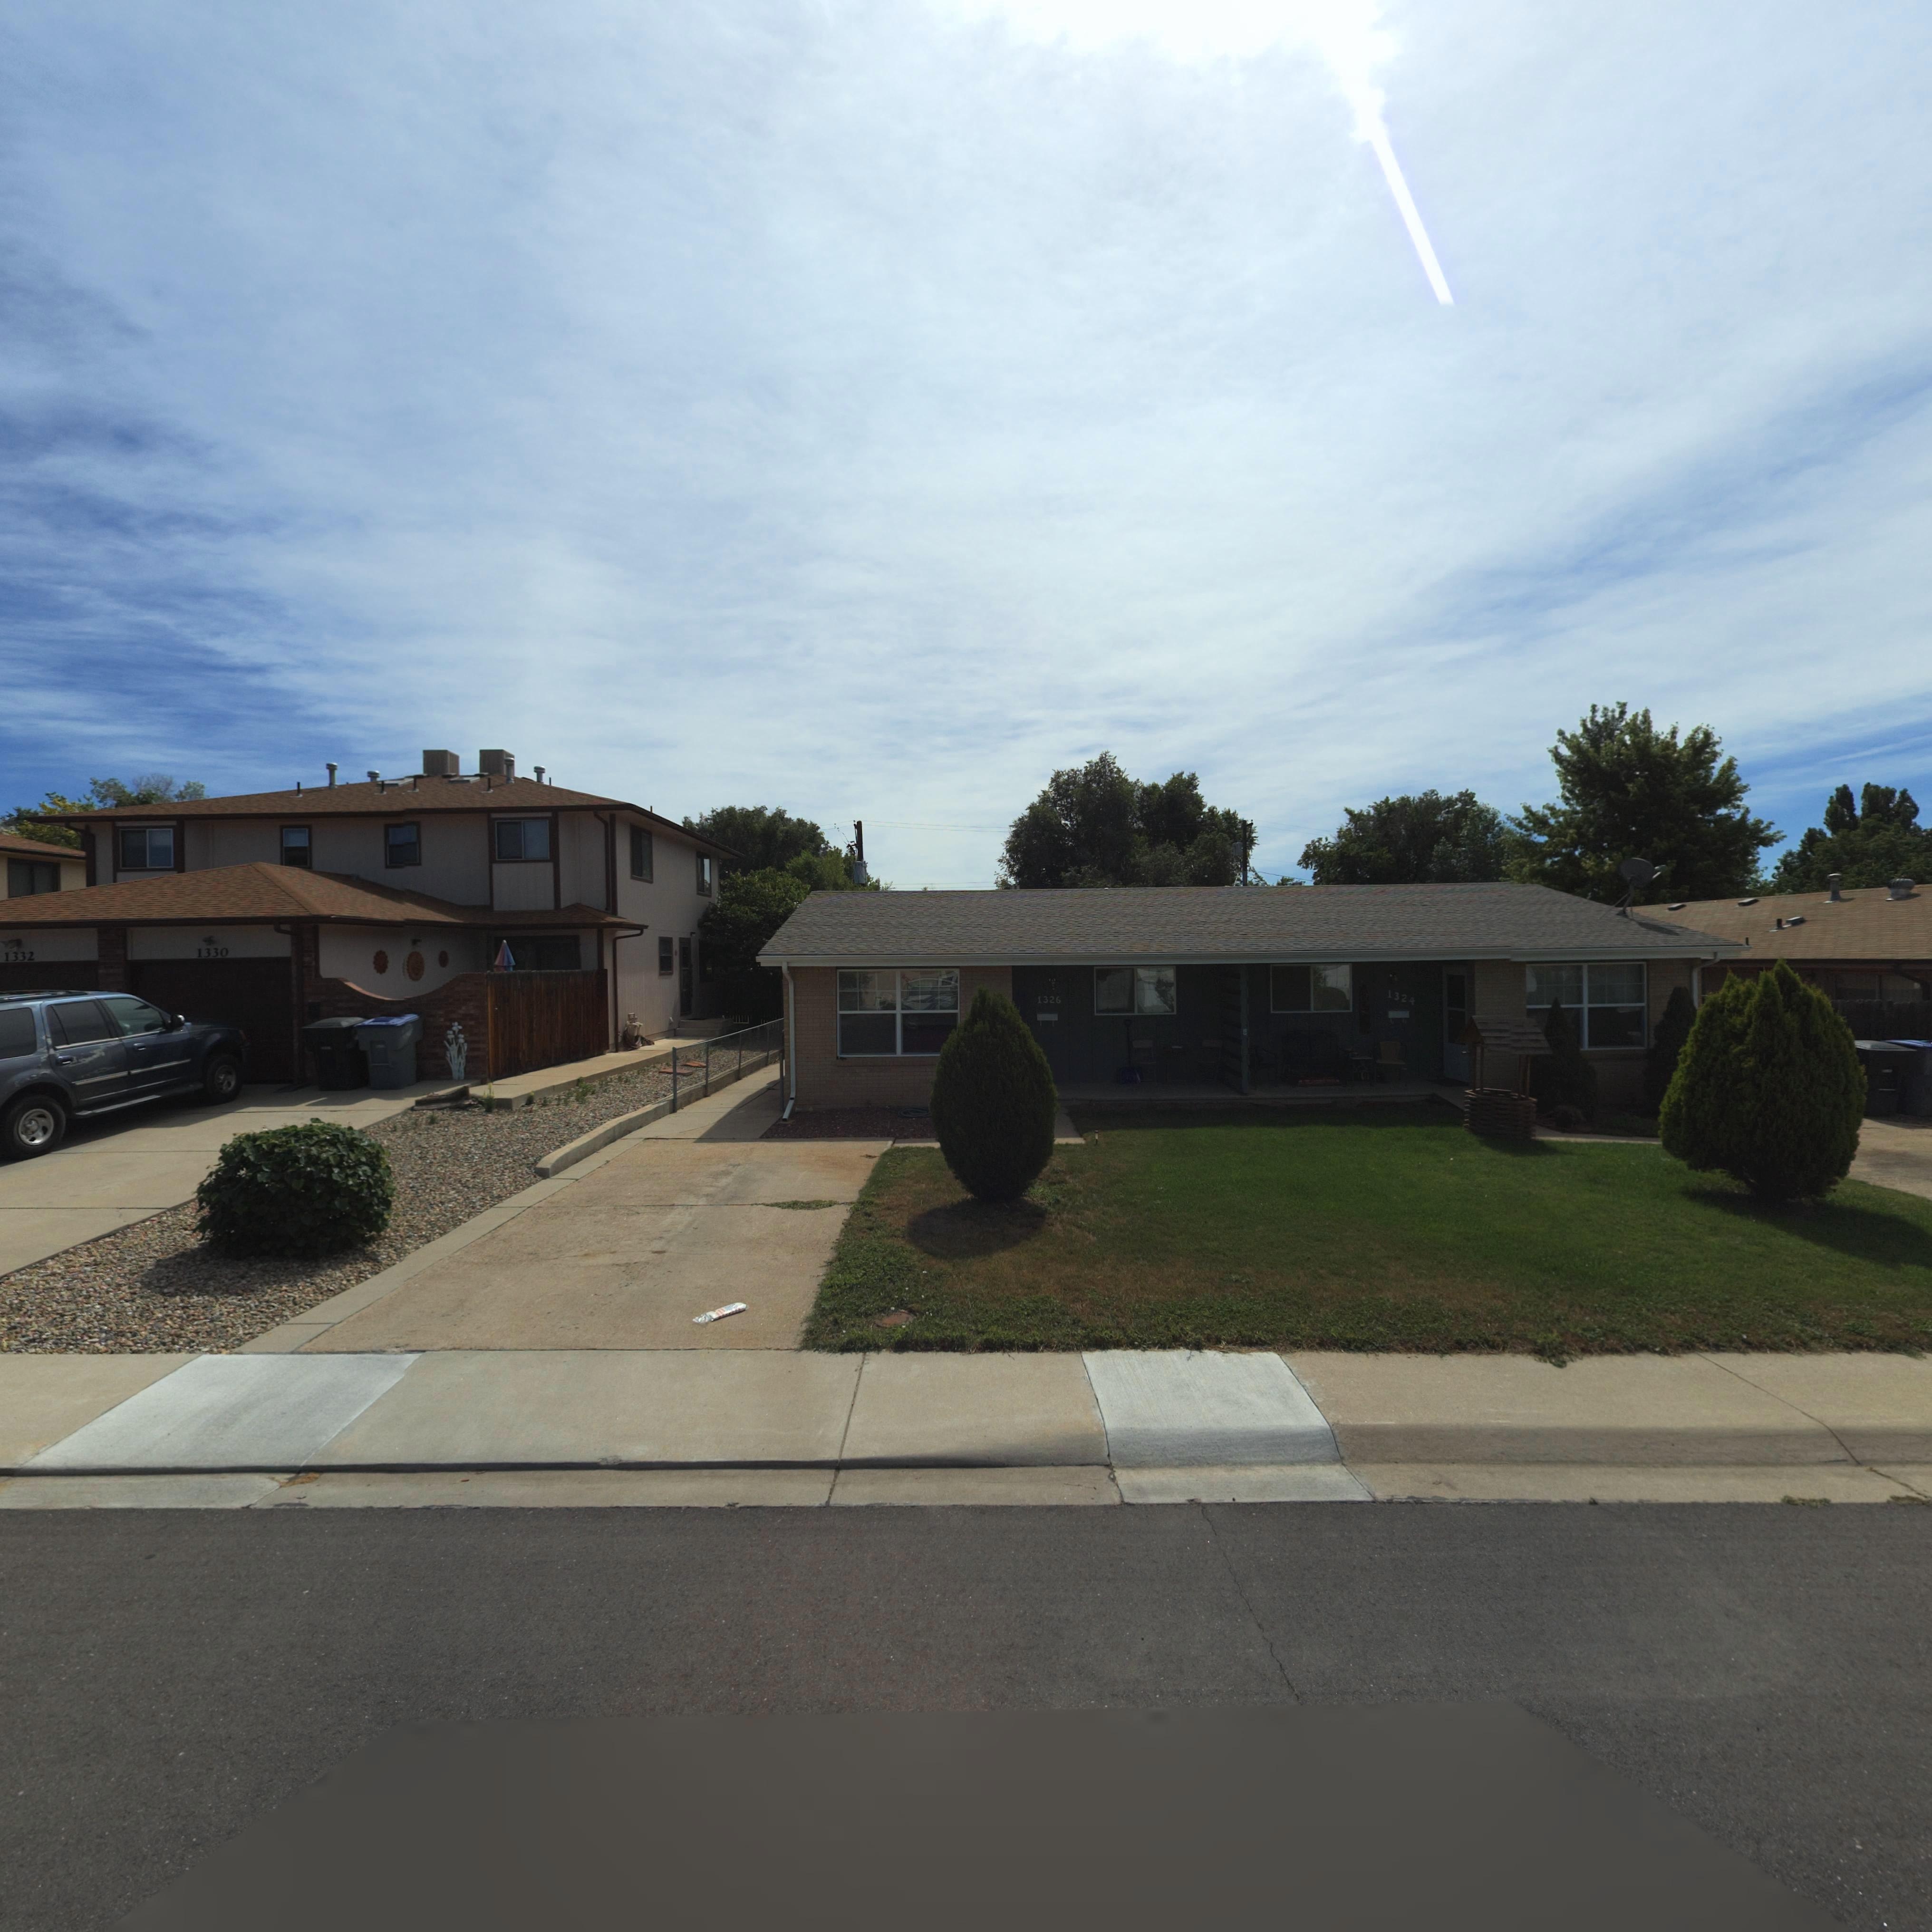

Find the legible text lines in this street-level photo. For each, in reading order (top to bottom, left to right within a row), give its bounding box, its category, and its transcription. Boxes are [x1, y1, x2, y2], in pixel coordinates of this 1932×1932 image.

[3, 951, 36, 962] StreetNumber: 1332
[196, 947, 229, 958] StreetNumber: 1330
[1036, 995, 1062, 1004] StreetNumber: 1326
[1386, 989, 1415, 1006] StreetNumber: 1324